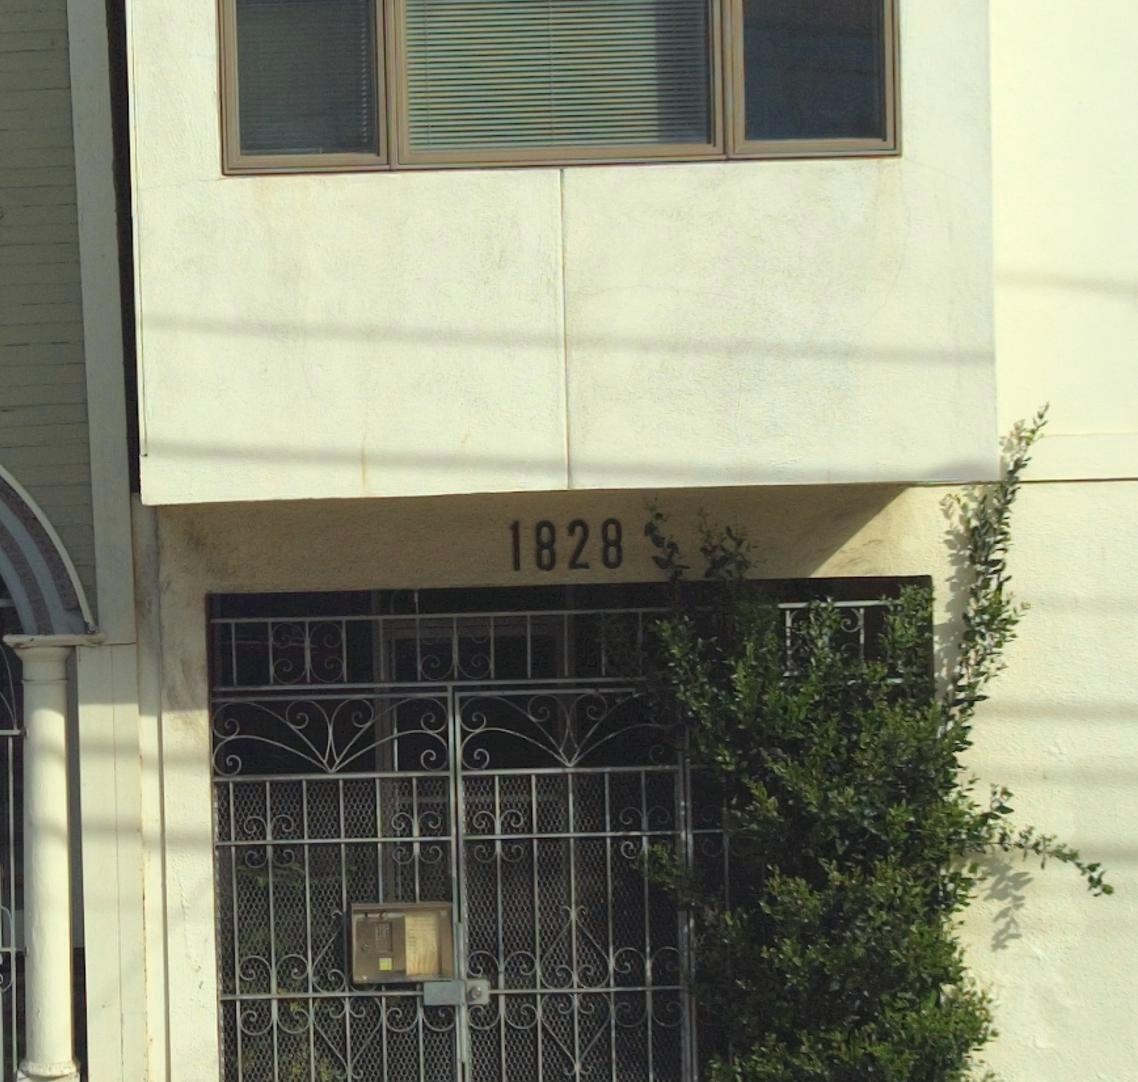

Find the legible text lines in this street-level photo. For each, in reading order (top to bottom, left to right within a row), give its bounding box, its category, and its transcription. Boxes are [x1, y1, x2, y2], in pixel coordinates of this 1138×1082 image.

[506, 515, 625, 574] StreetNumber: 1828